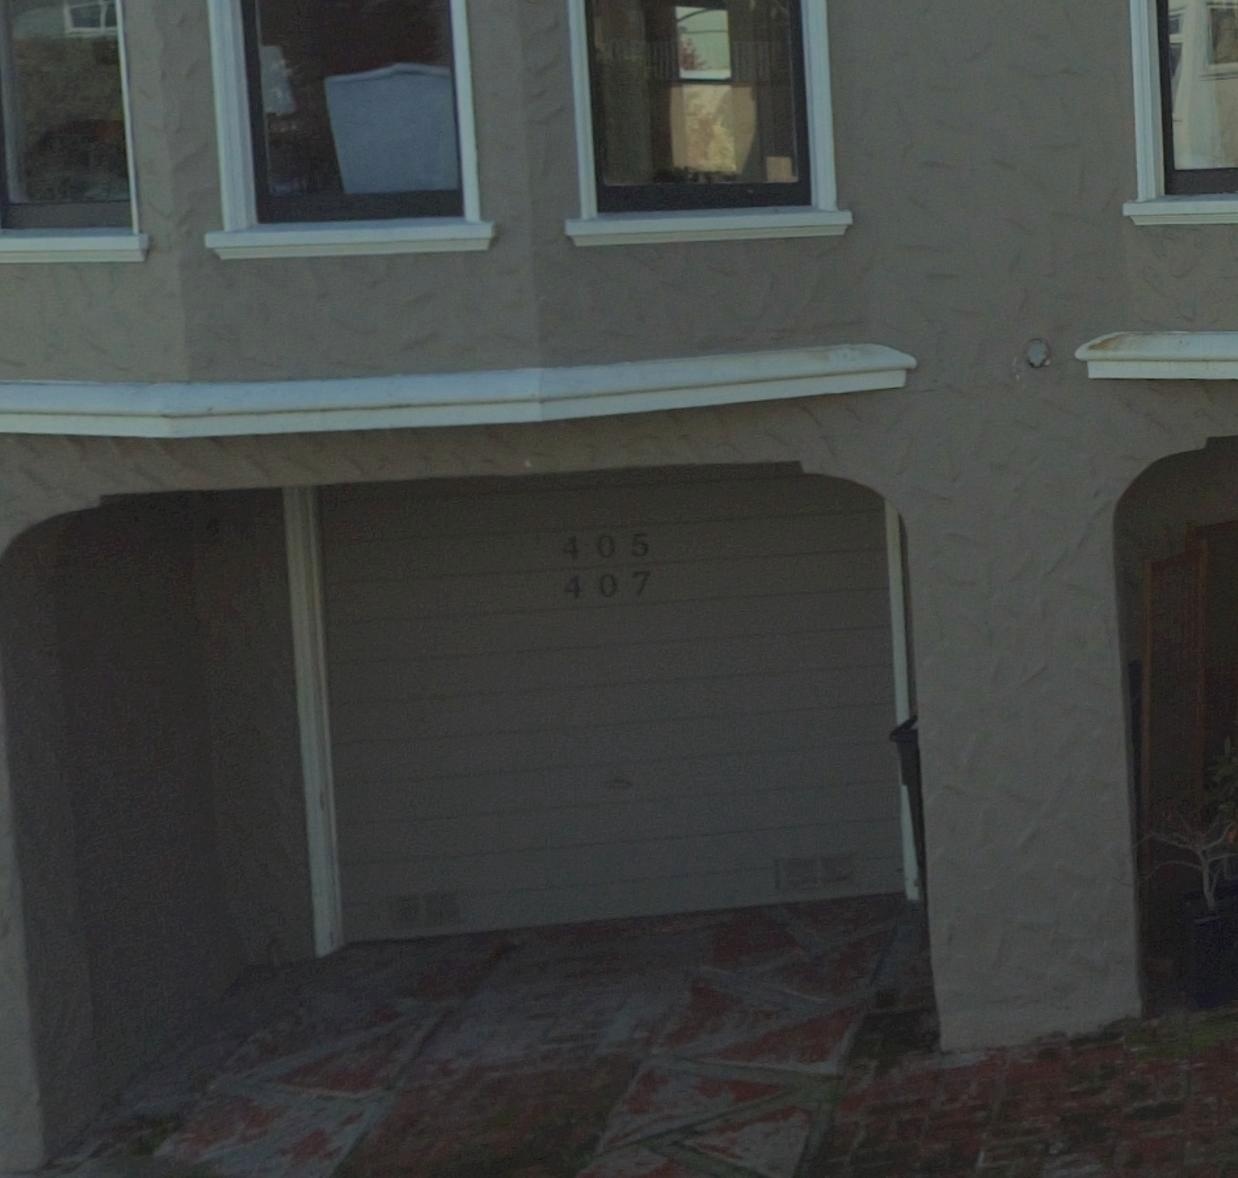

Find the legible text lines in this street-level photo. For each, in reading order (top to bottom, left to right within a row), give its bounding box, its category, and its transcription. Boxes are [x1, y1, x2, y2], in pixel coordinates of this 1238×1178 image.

[558, 530, 652, 563] StreetNumber: 405
[562, 568, 652, 604] StreetNumber: 407